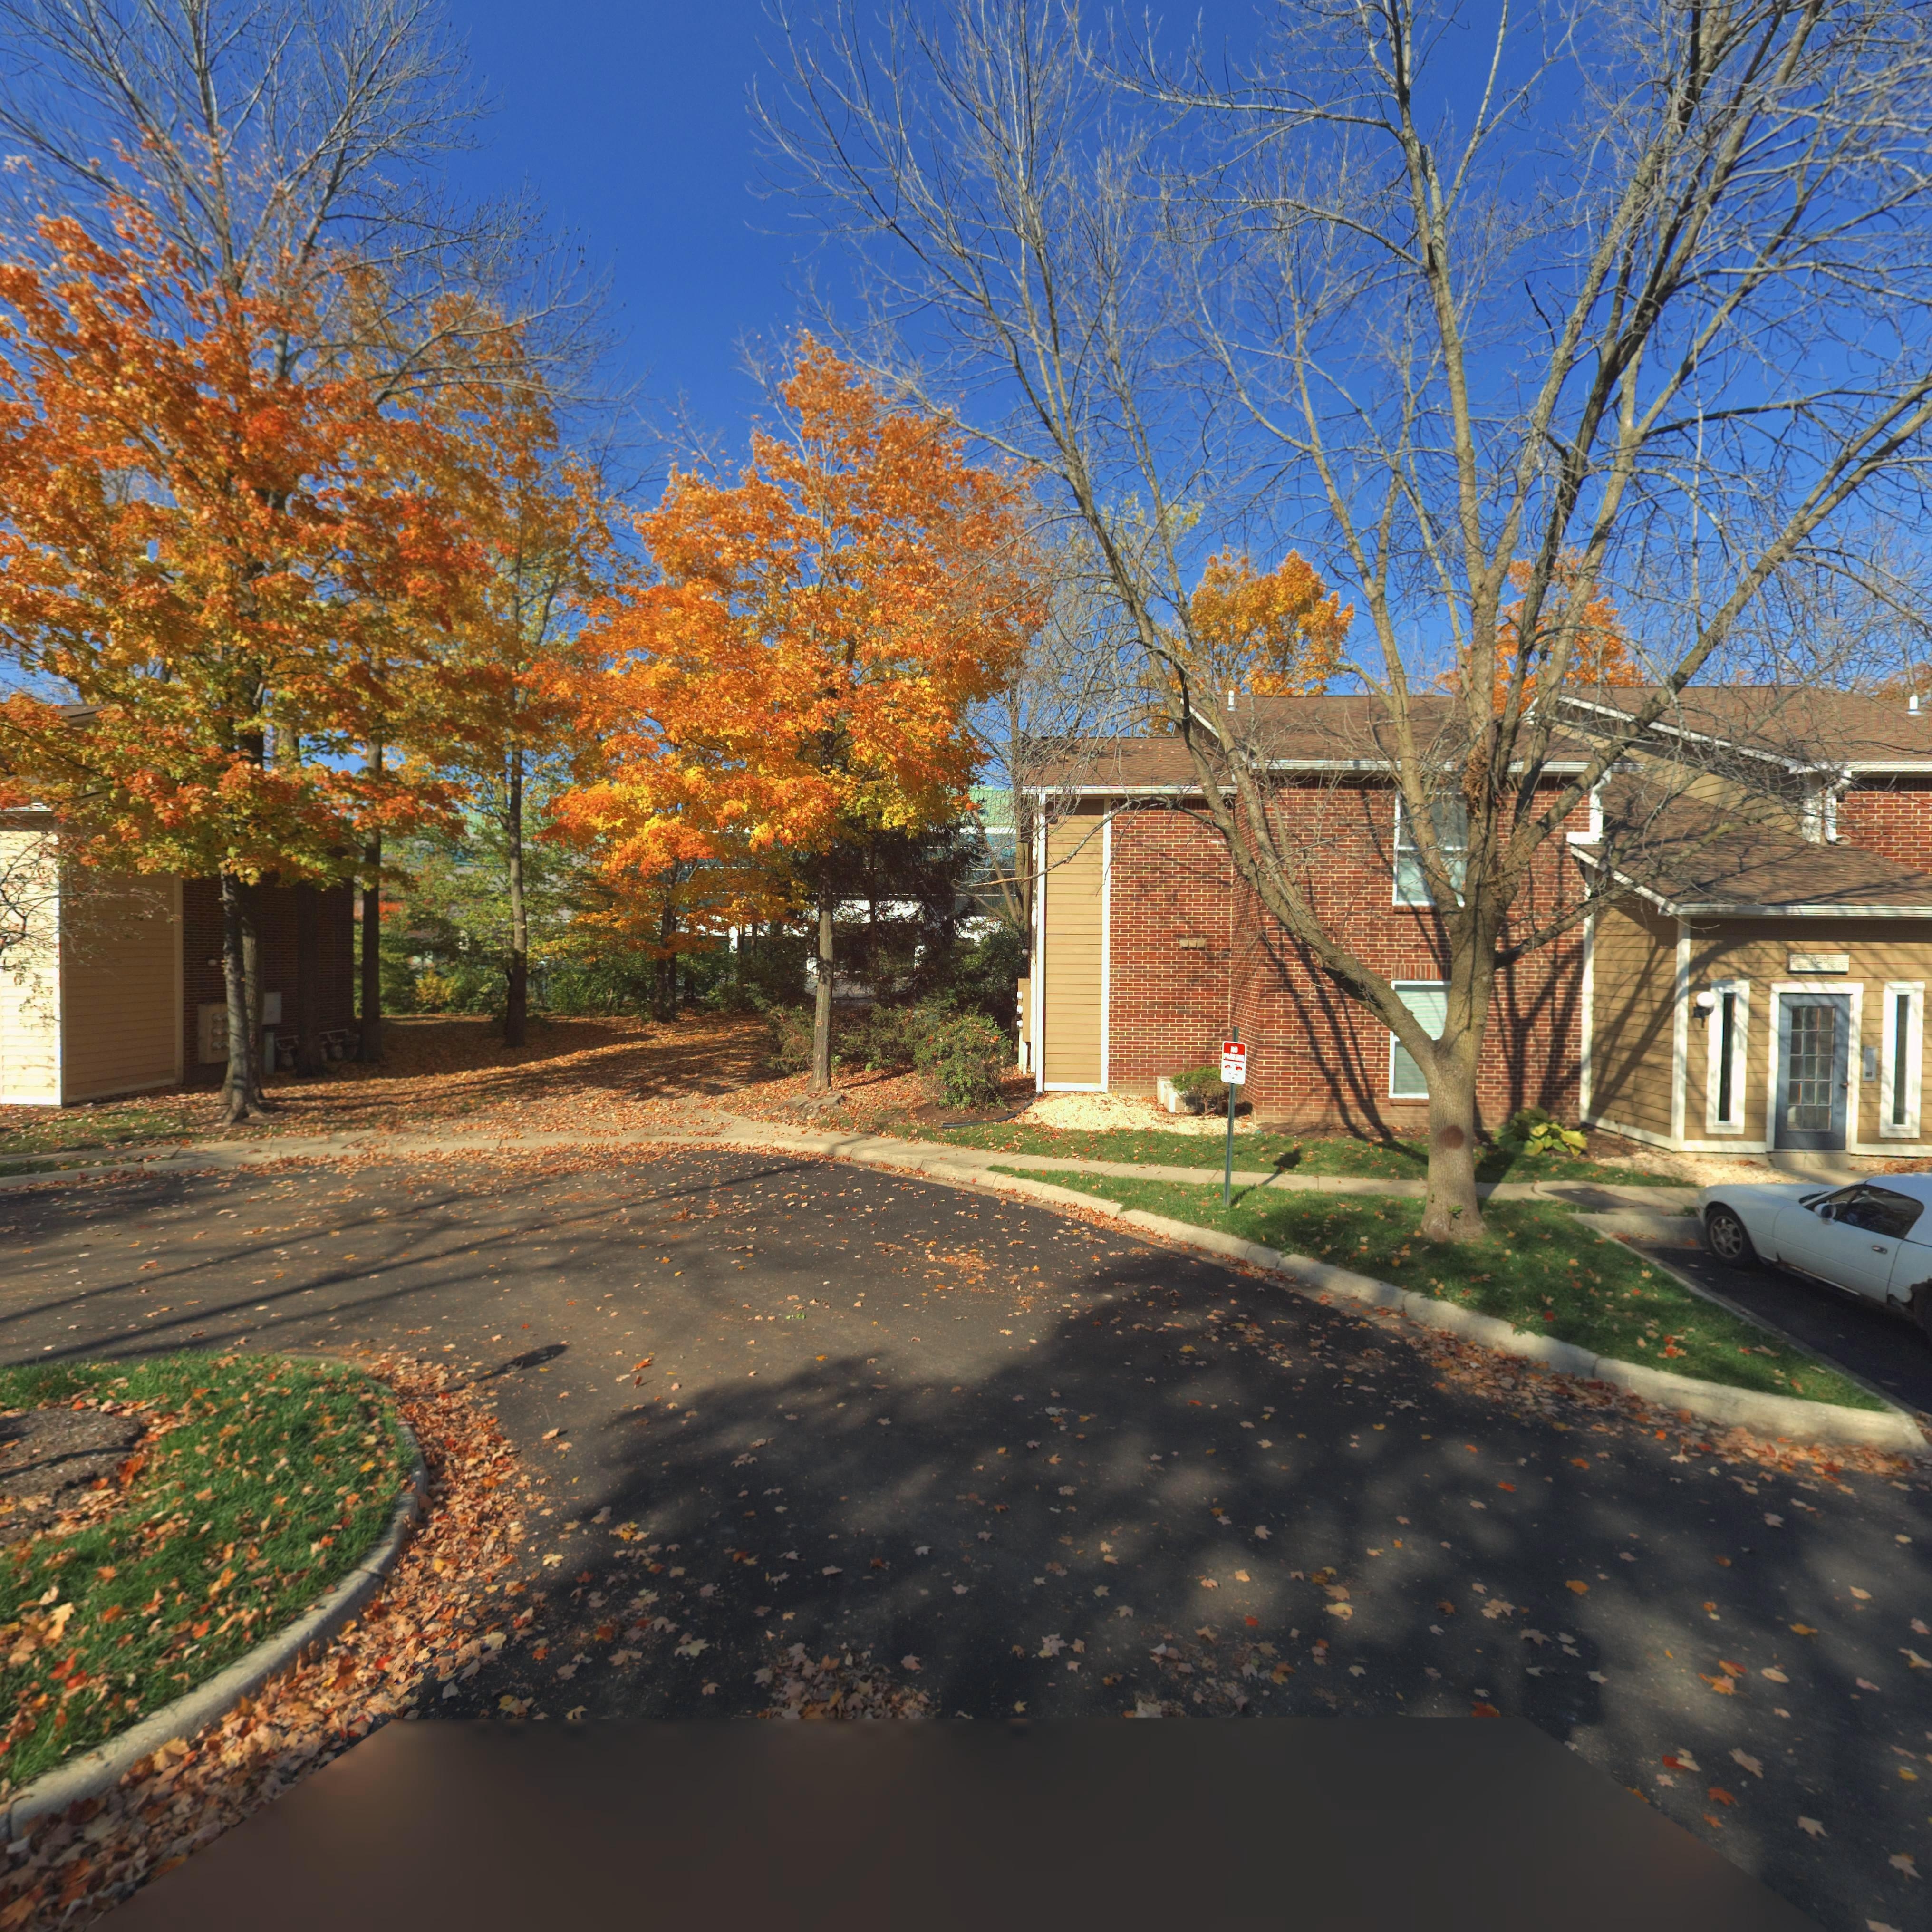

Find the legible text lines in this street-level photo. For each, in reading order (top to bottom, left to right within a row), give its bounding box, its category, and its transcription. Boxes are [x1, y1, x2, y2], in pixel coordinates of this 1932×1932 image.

[1821, 955, 1831, 966] StreetNumber: 9